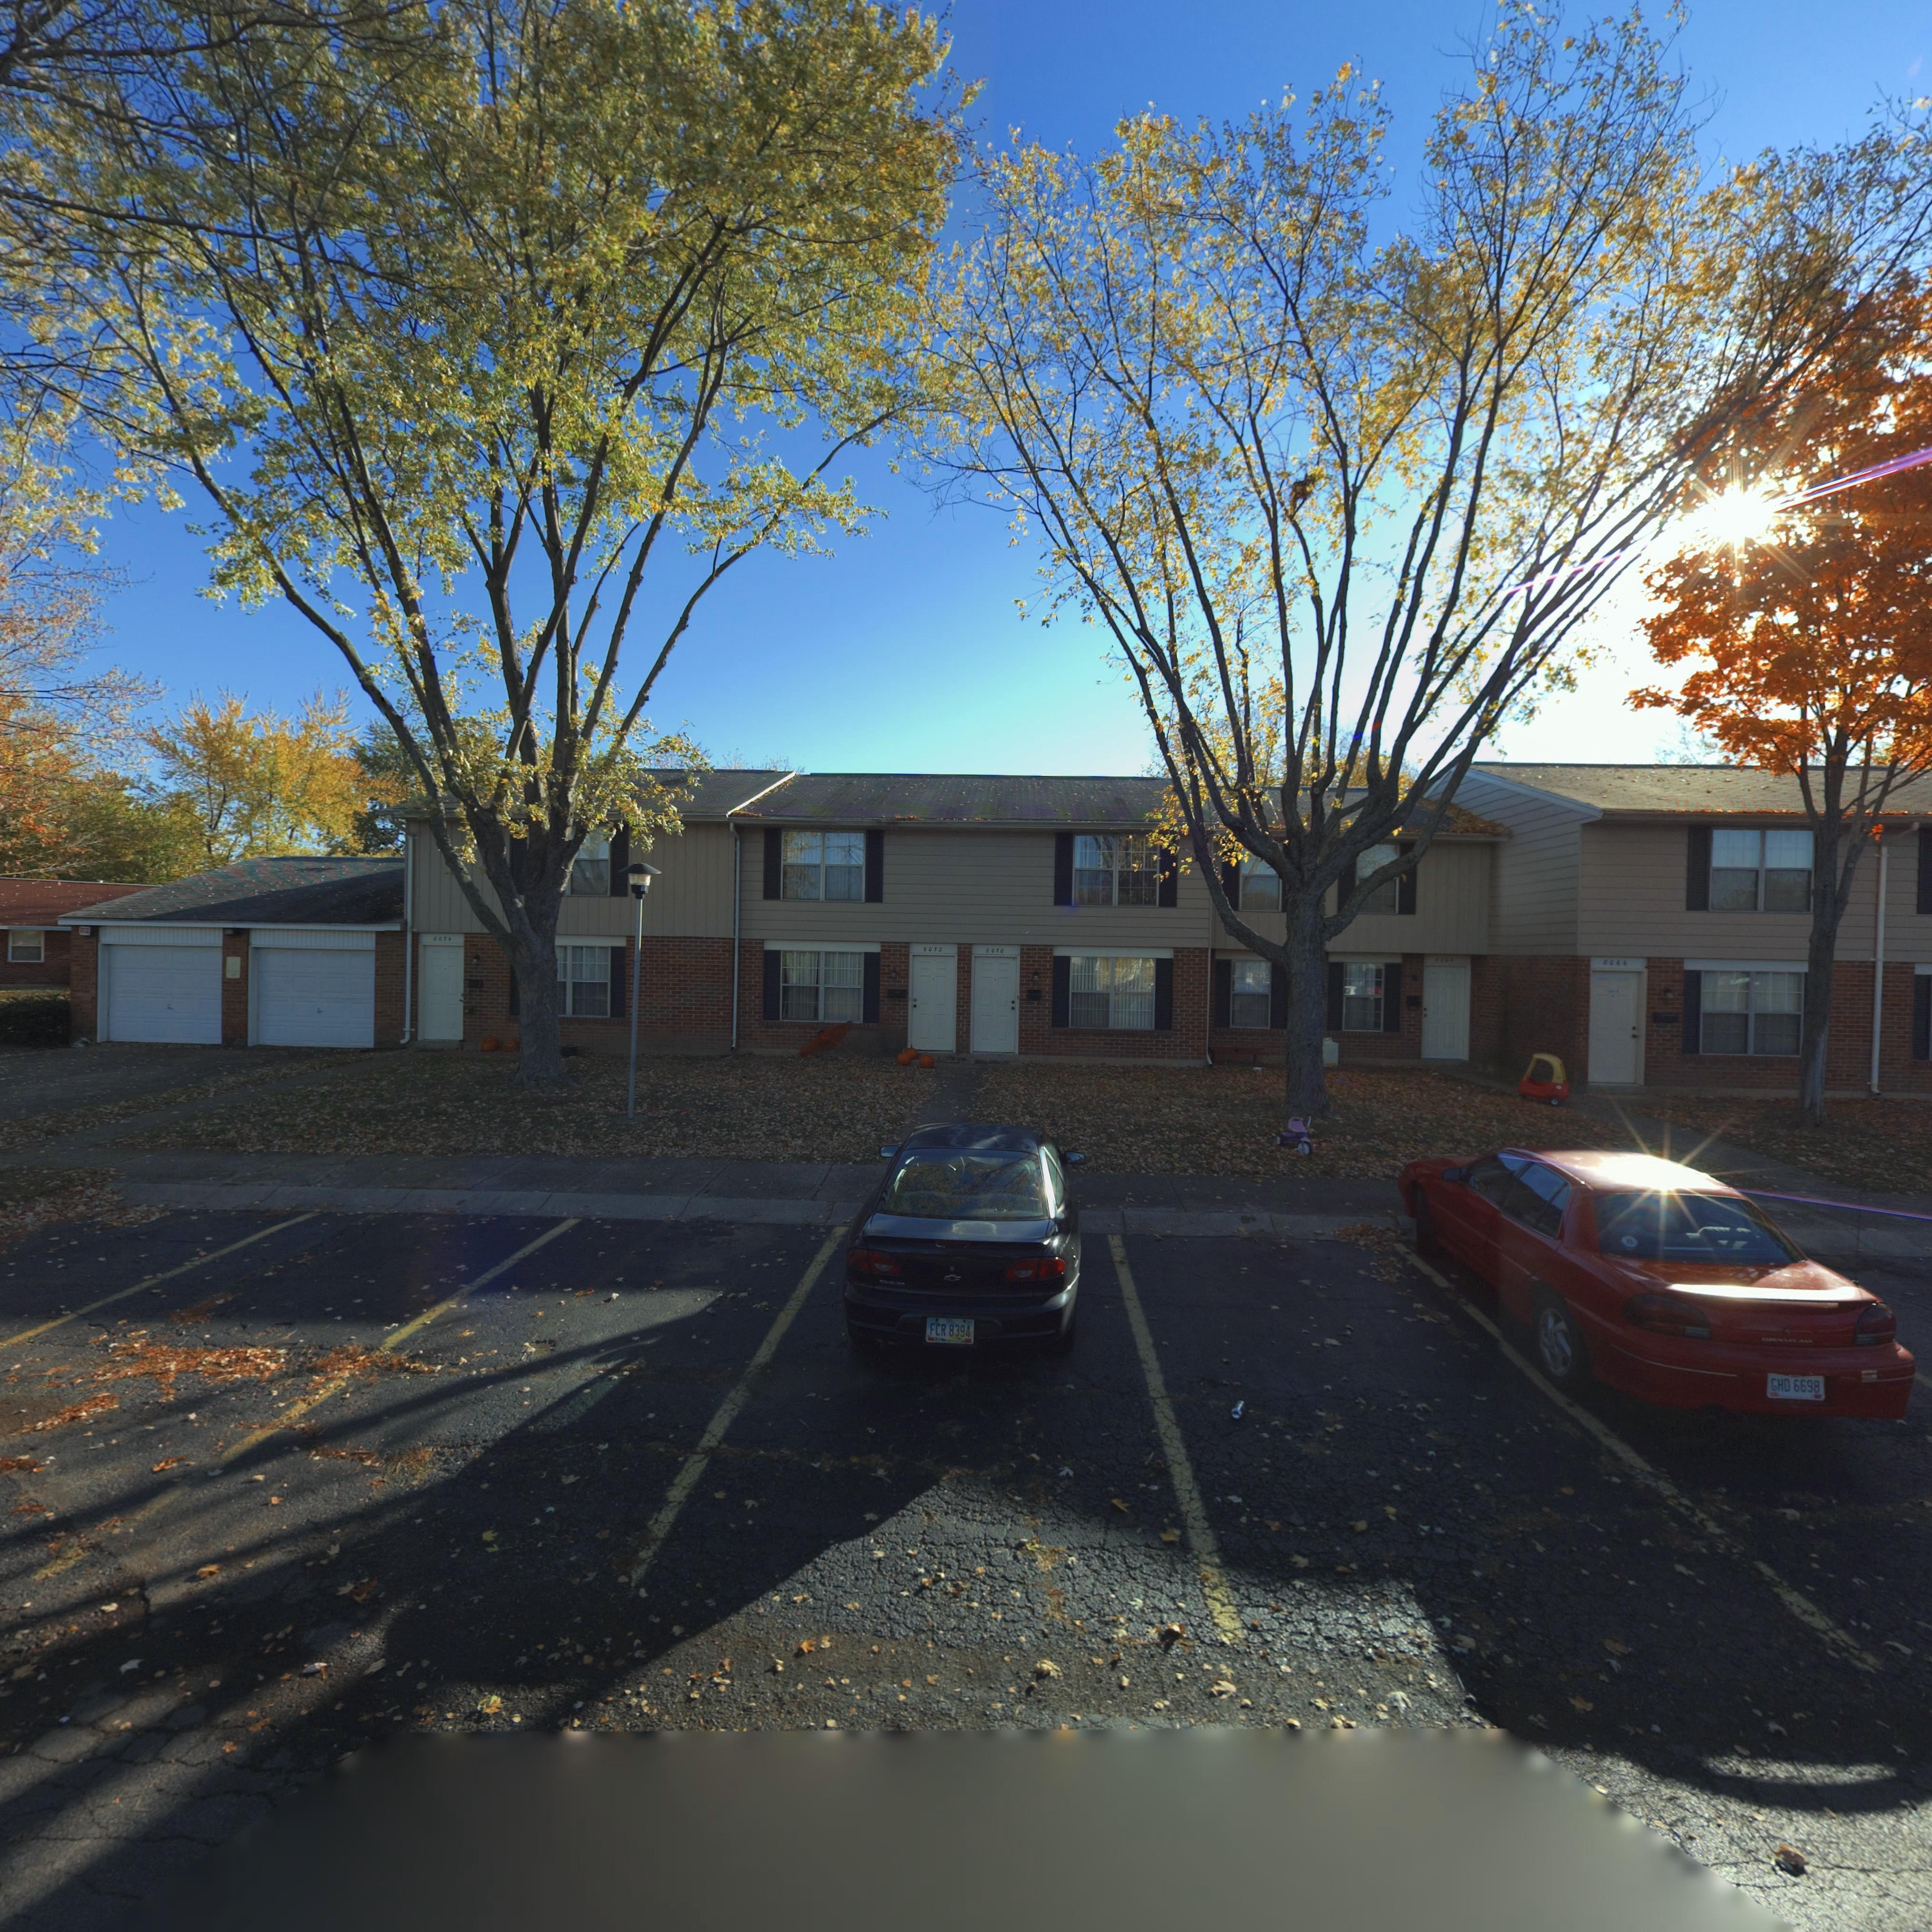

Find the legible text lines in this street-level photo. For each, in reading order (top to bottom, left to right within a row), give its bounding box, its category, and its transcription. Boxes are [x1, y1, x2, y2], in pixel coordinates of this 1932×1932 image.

[432, 936, 452, 942] StreetNumber: 8074
[922, 946, 943, 952] StreetNumber: 8072
[985, 947, 1005, 954] StreetNumber: 8070
[1434, 956, 1454, 964] StreetNumber: 80*8
[1603, 958, 1628, 967] StreetNumber: 8066